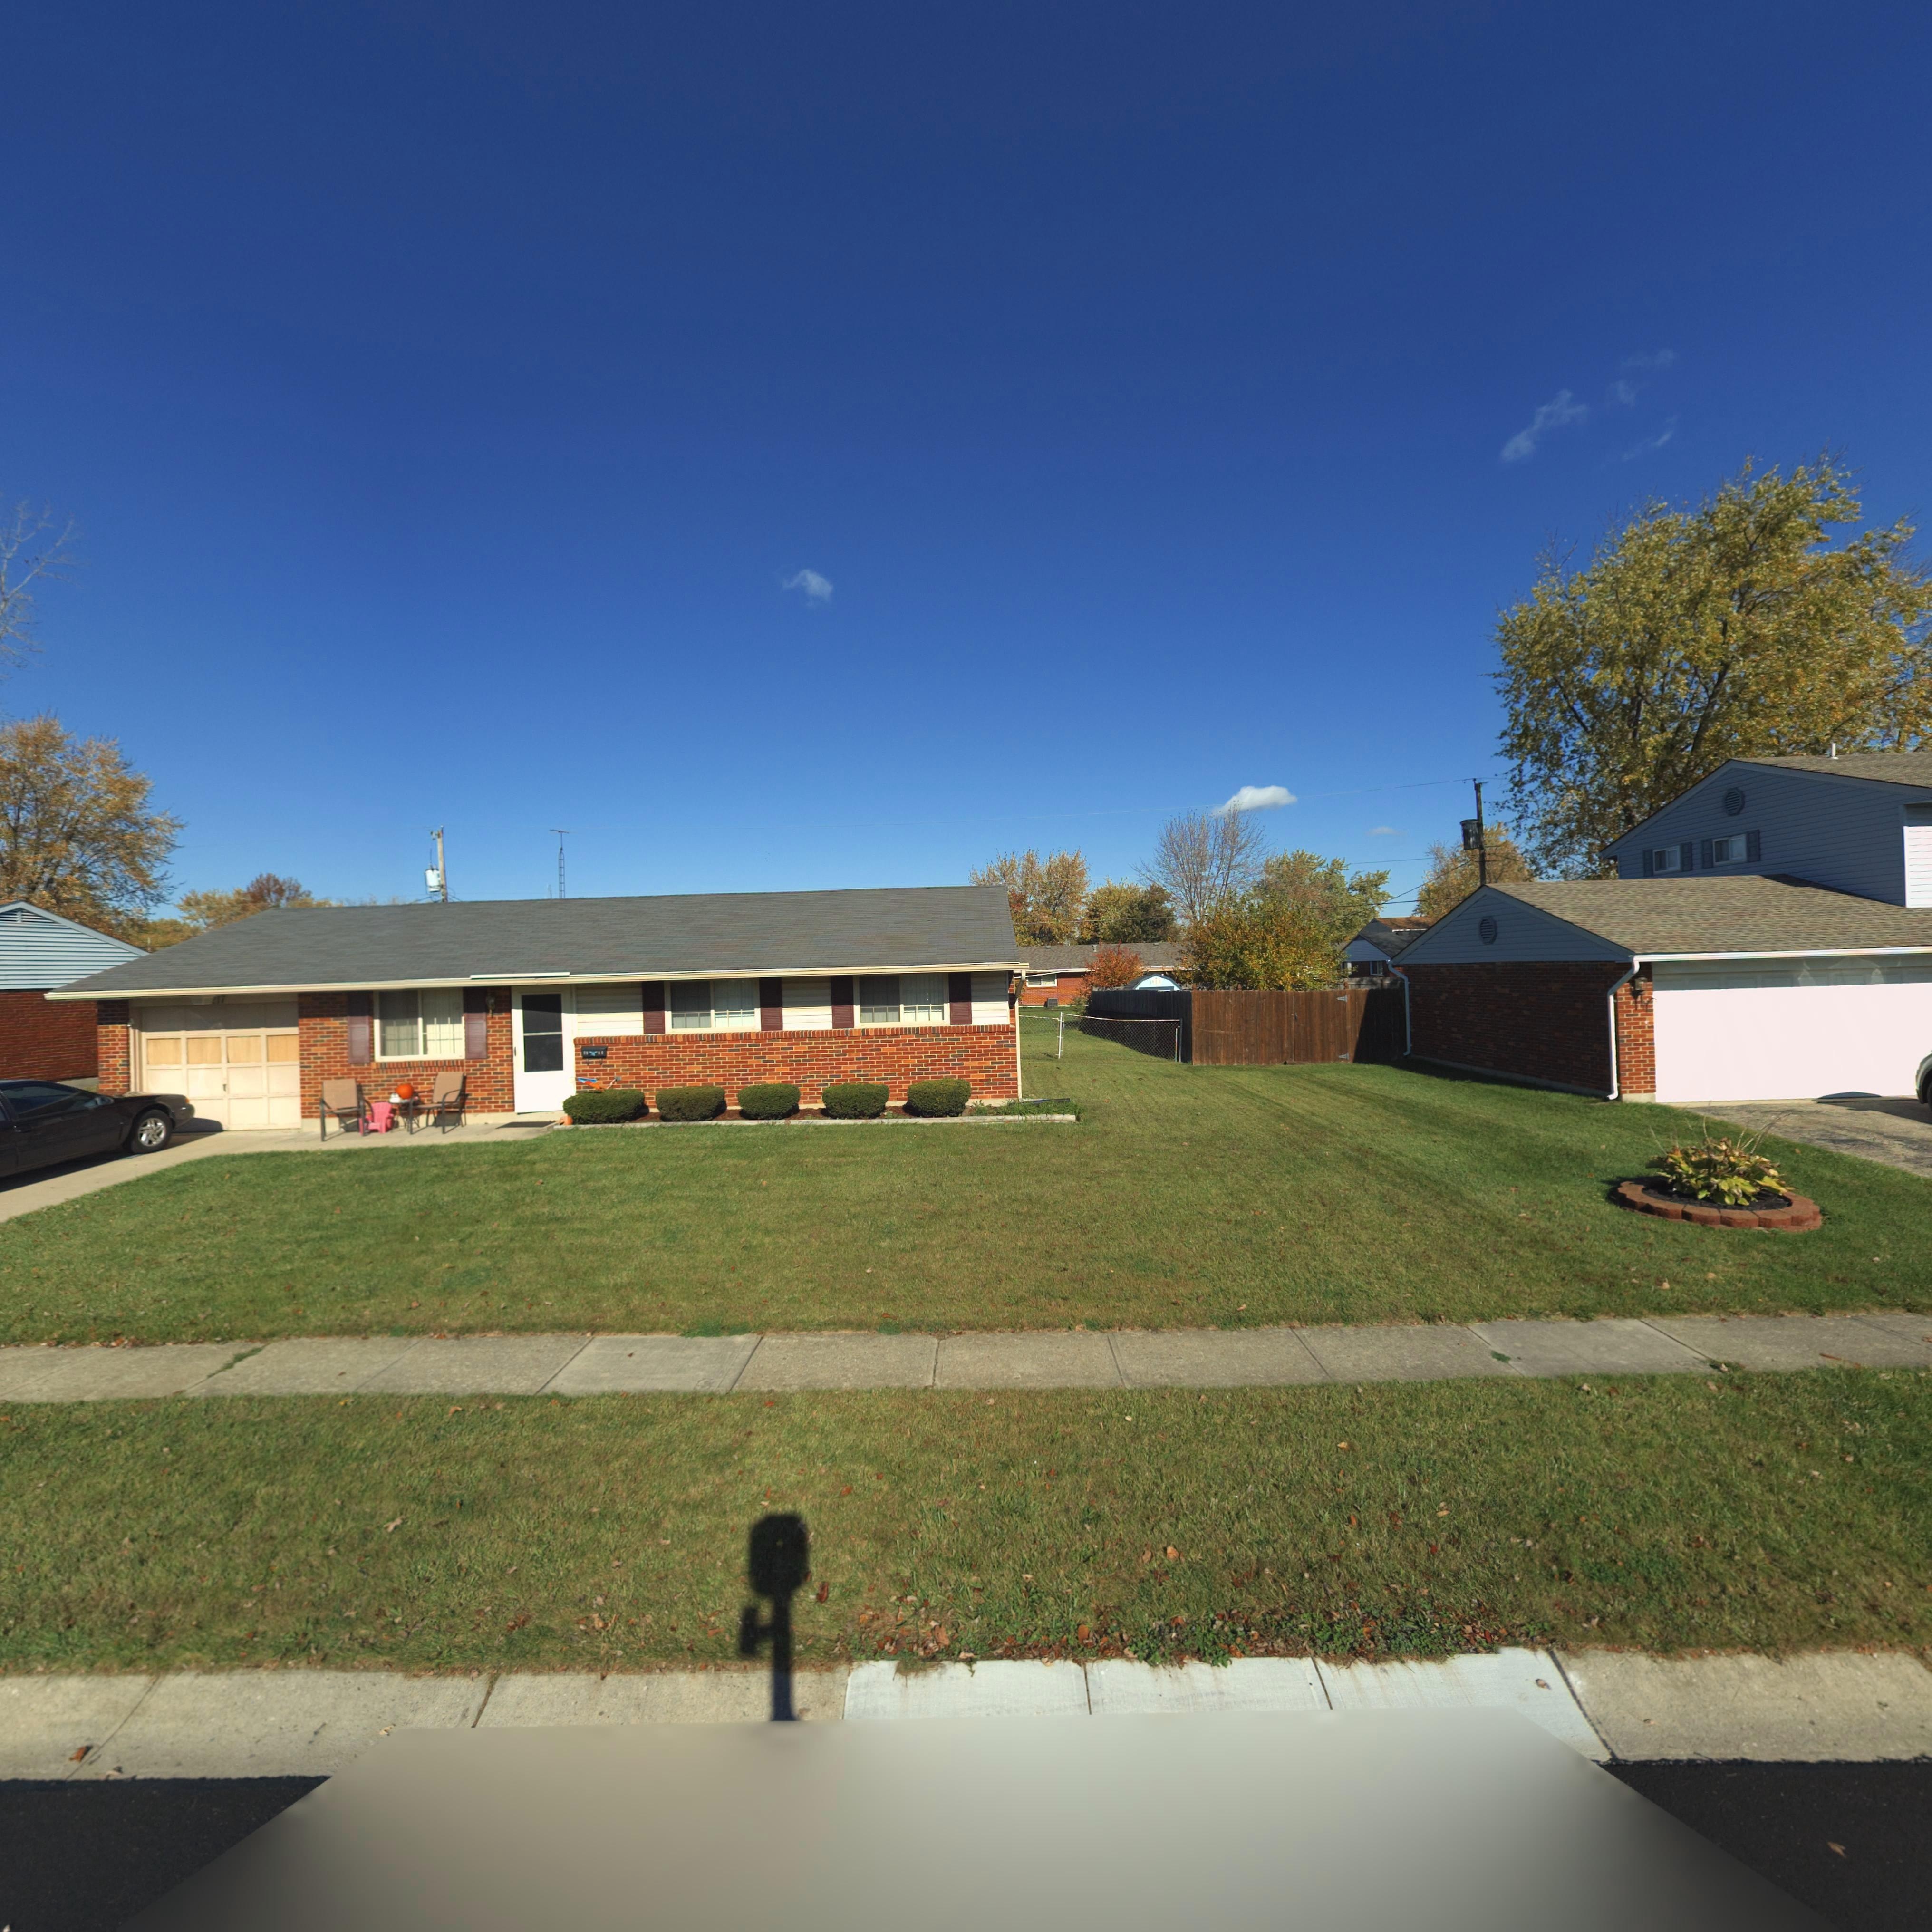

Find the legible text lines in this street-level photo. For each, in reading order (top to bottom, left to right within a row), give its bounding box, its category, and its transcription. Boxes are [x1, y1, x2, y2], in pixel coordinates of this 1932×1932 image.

[215, 995, 227, 1005] StreetNumber: 17